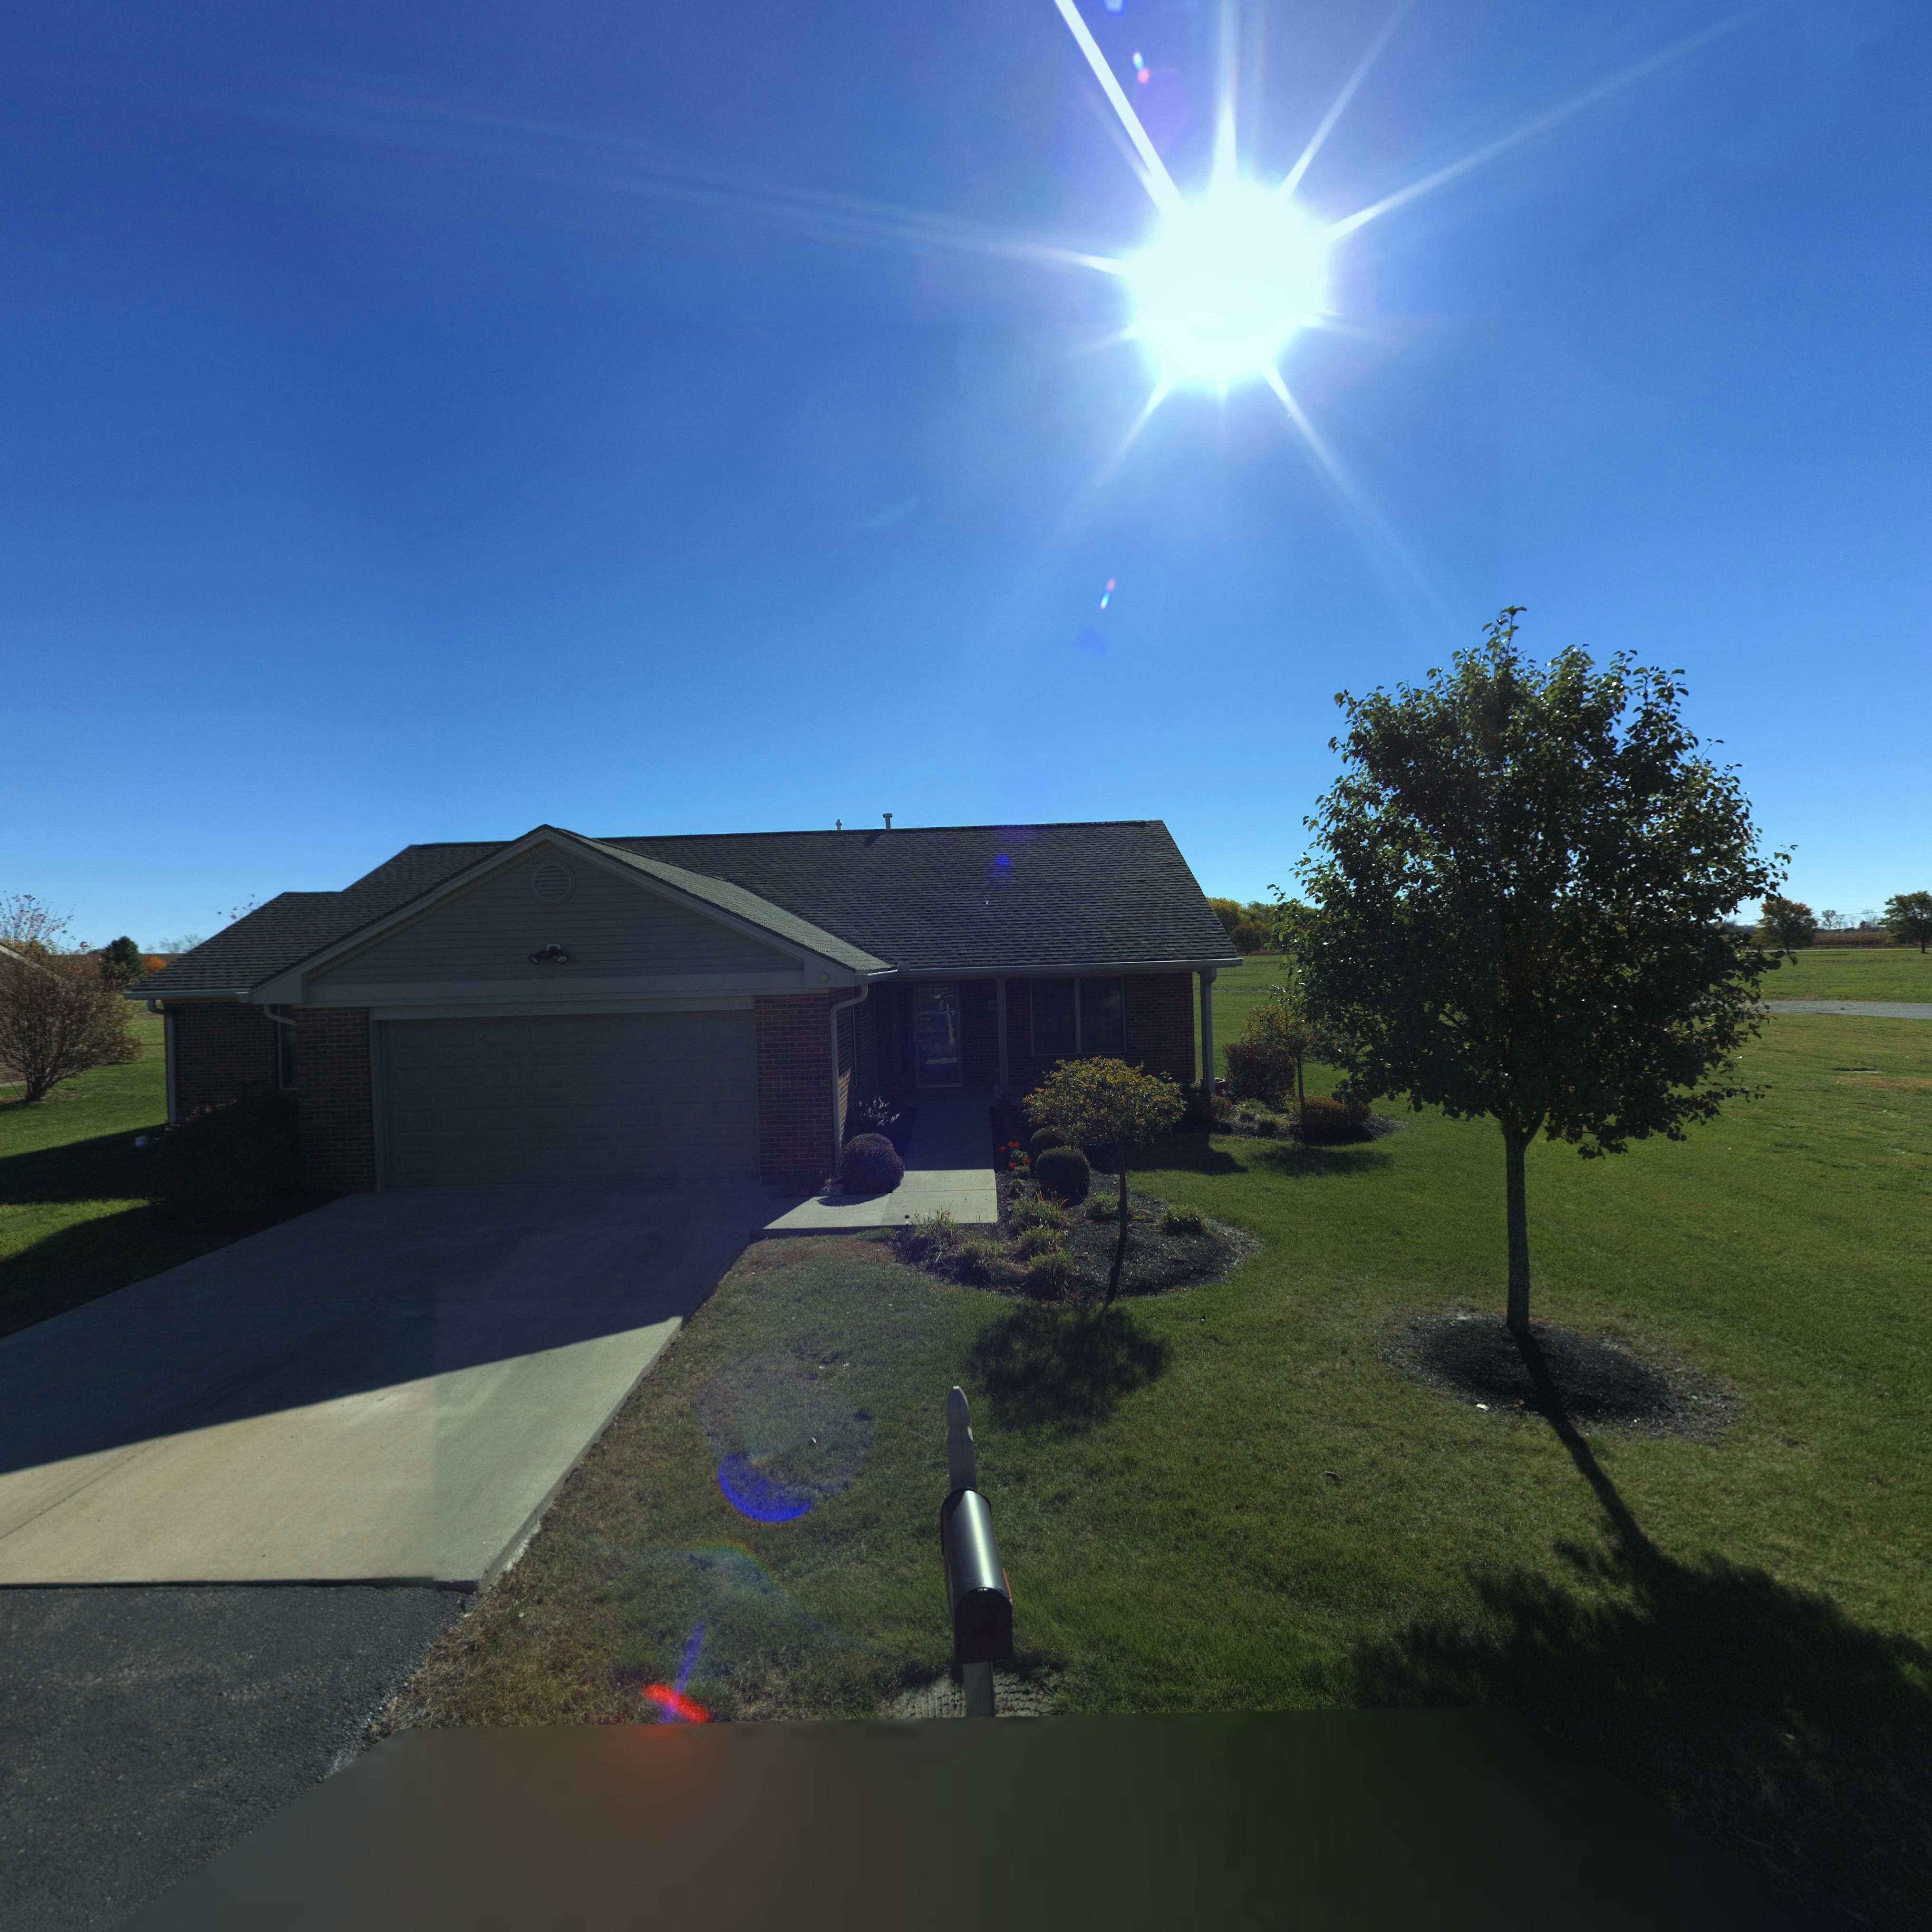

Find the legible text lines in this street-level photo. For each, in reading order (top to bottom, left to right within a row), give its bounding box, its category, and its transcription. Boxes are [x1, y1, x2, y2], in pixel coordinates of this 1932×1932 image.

[989, 1003, 998, 1008] StreetNumber: 60